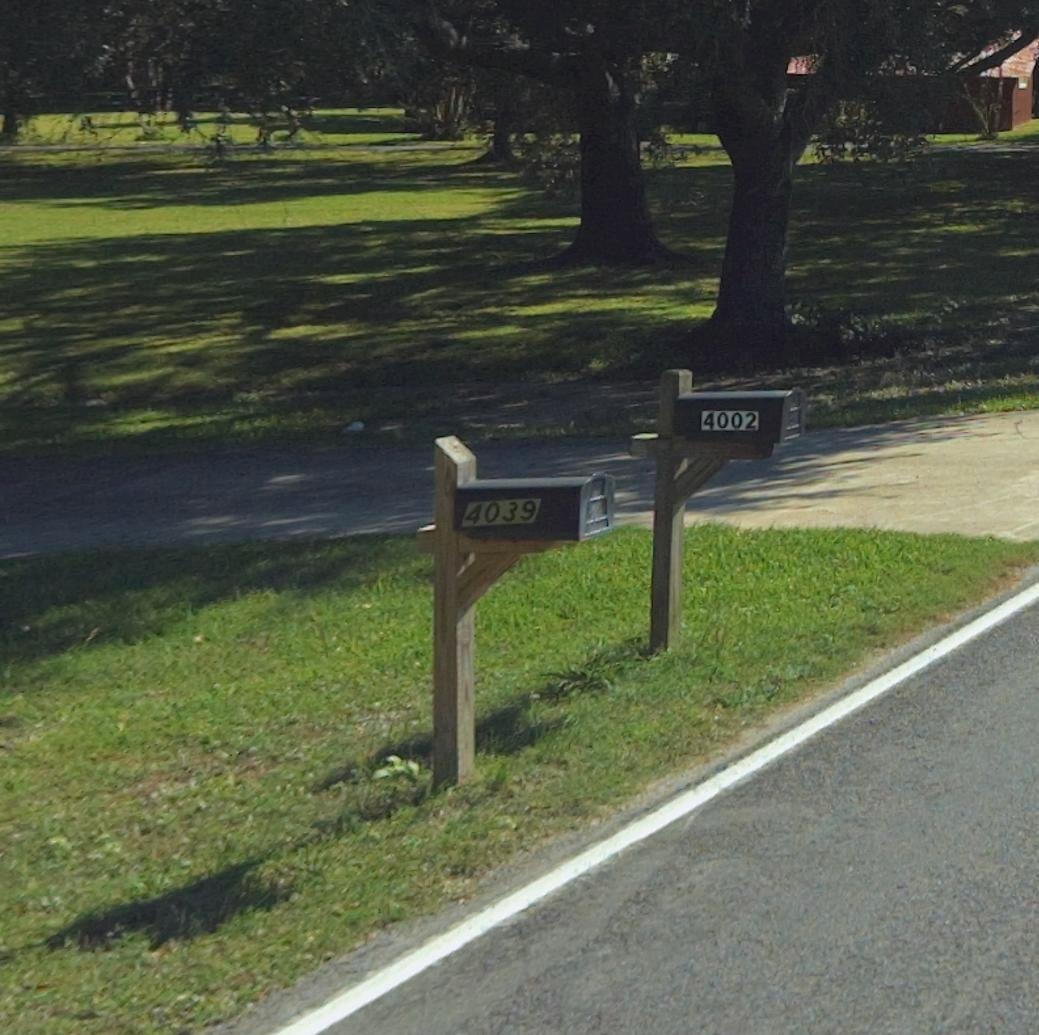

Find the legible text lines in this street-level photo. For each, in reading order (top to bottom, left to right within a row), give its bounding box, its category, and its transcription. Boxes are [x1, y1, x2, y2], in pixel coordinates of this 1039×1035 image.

[701, 410, 758, 431] StreetNumber: 4002
[461, 498, 541, 526] StreetNumber: 4039